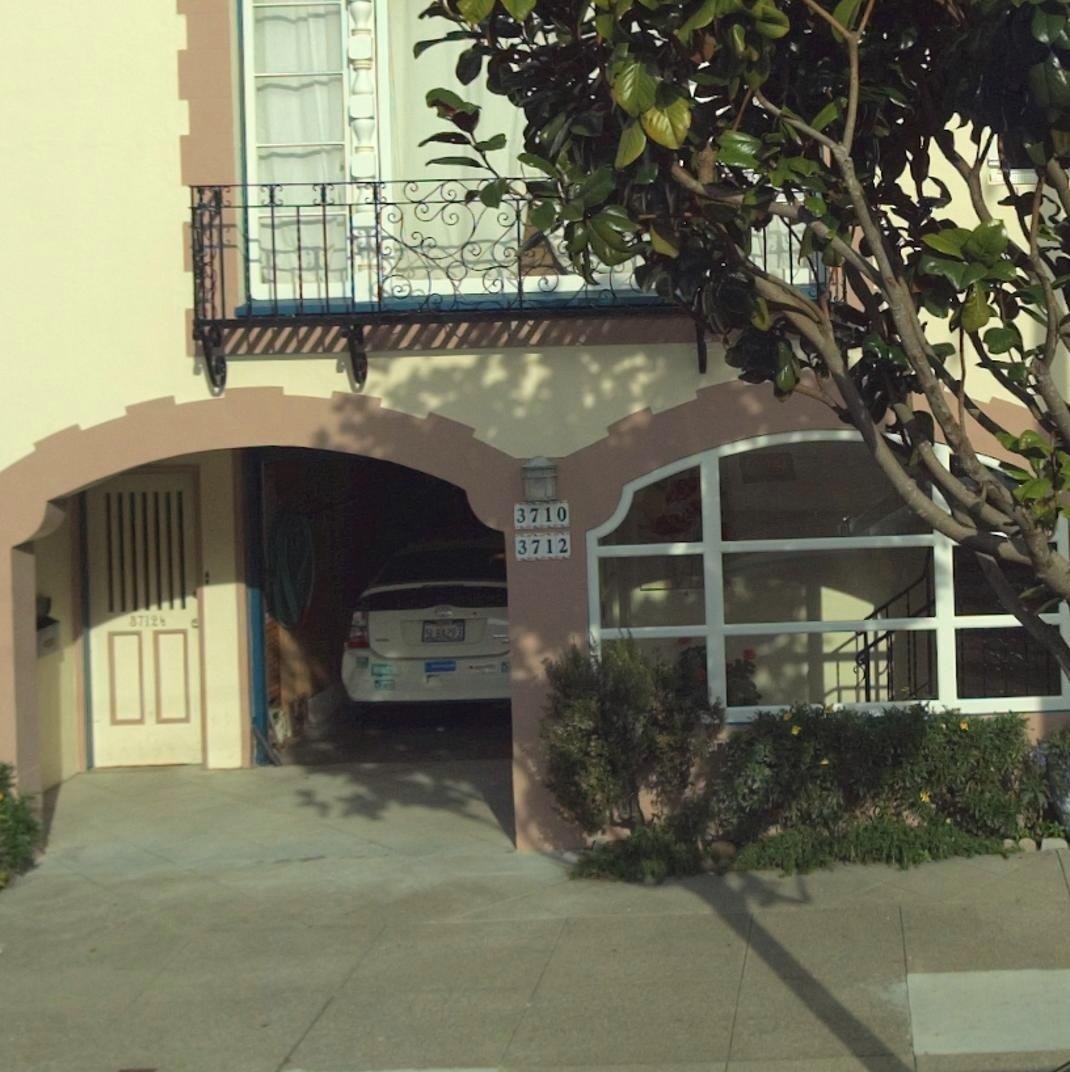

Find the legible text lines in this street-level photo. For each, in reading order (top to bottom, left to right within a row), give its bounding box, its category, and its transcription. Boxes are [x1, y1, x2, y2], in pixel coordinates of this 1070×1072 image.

[514, 505, 570, 525] StreetNumber: 3710
[515, 534, 571, 559] StreetNumber: 3712